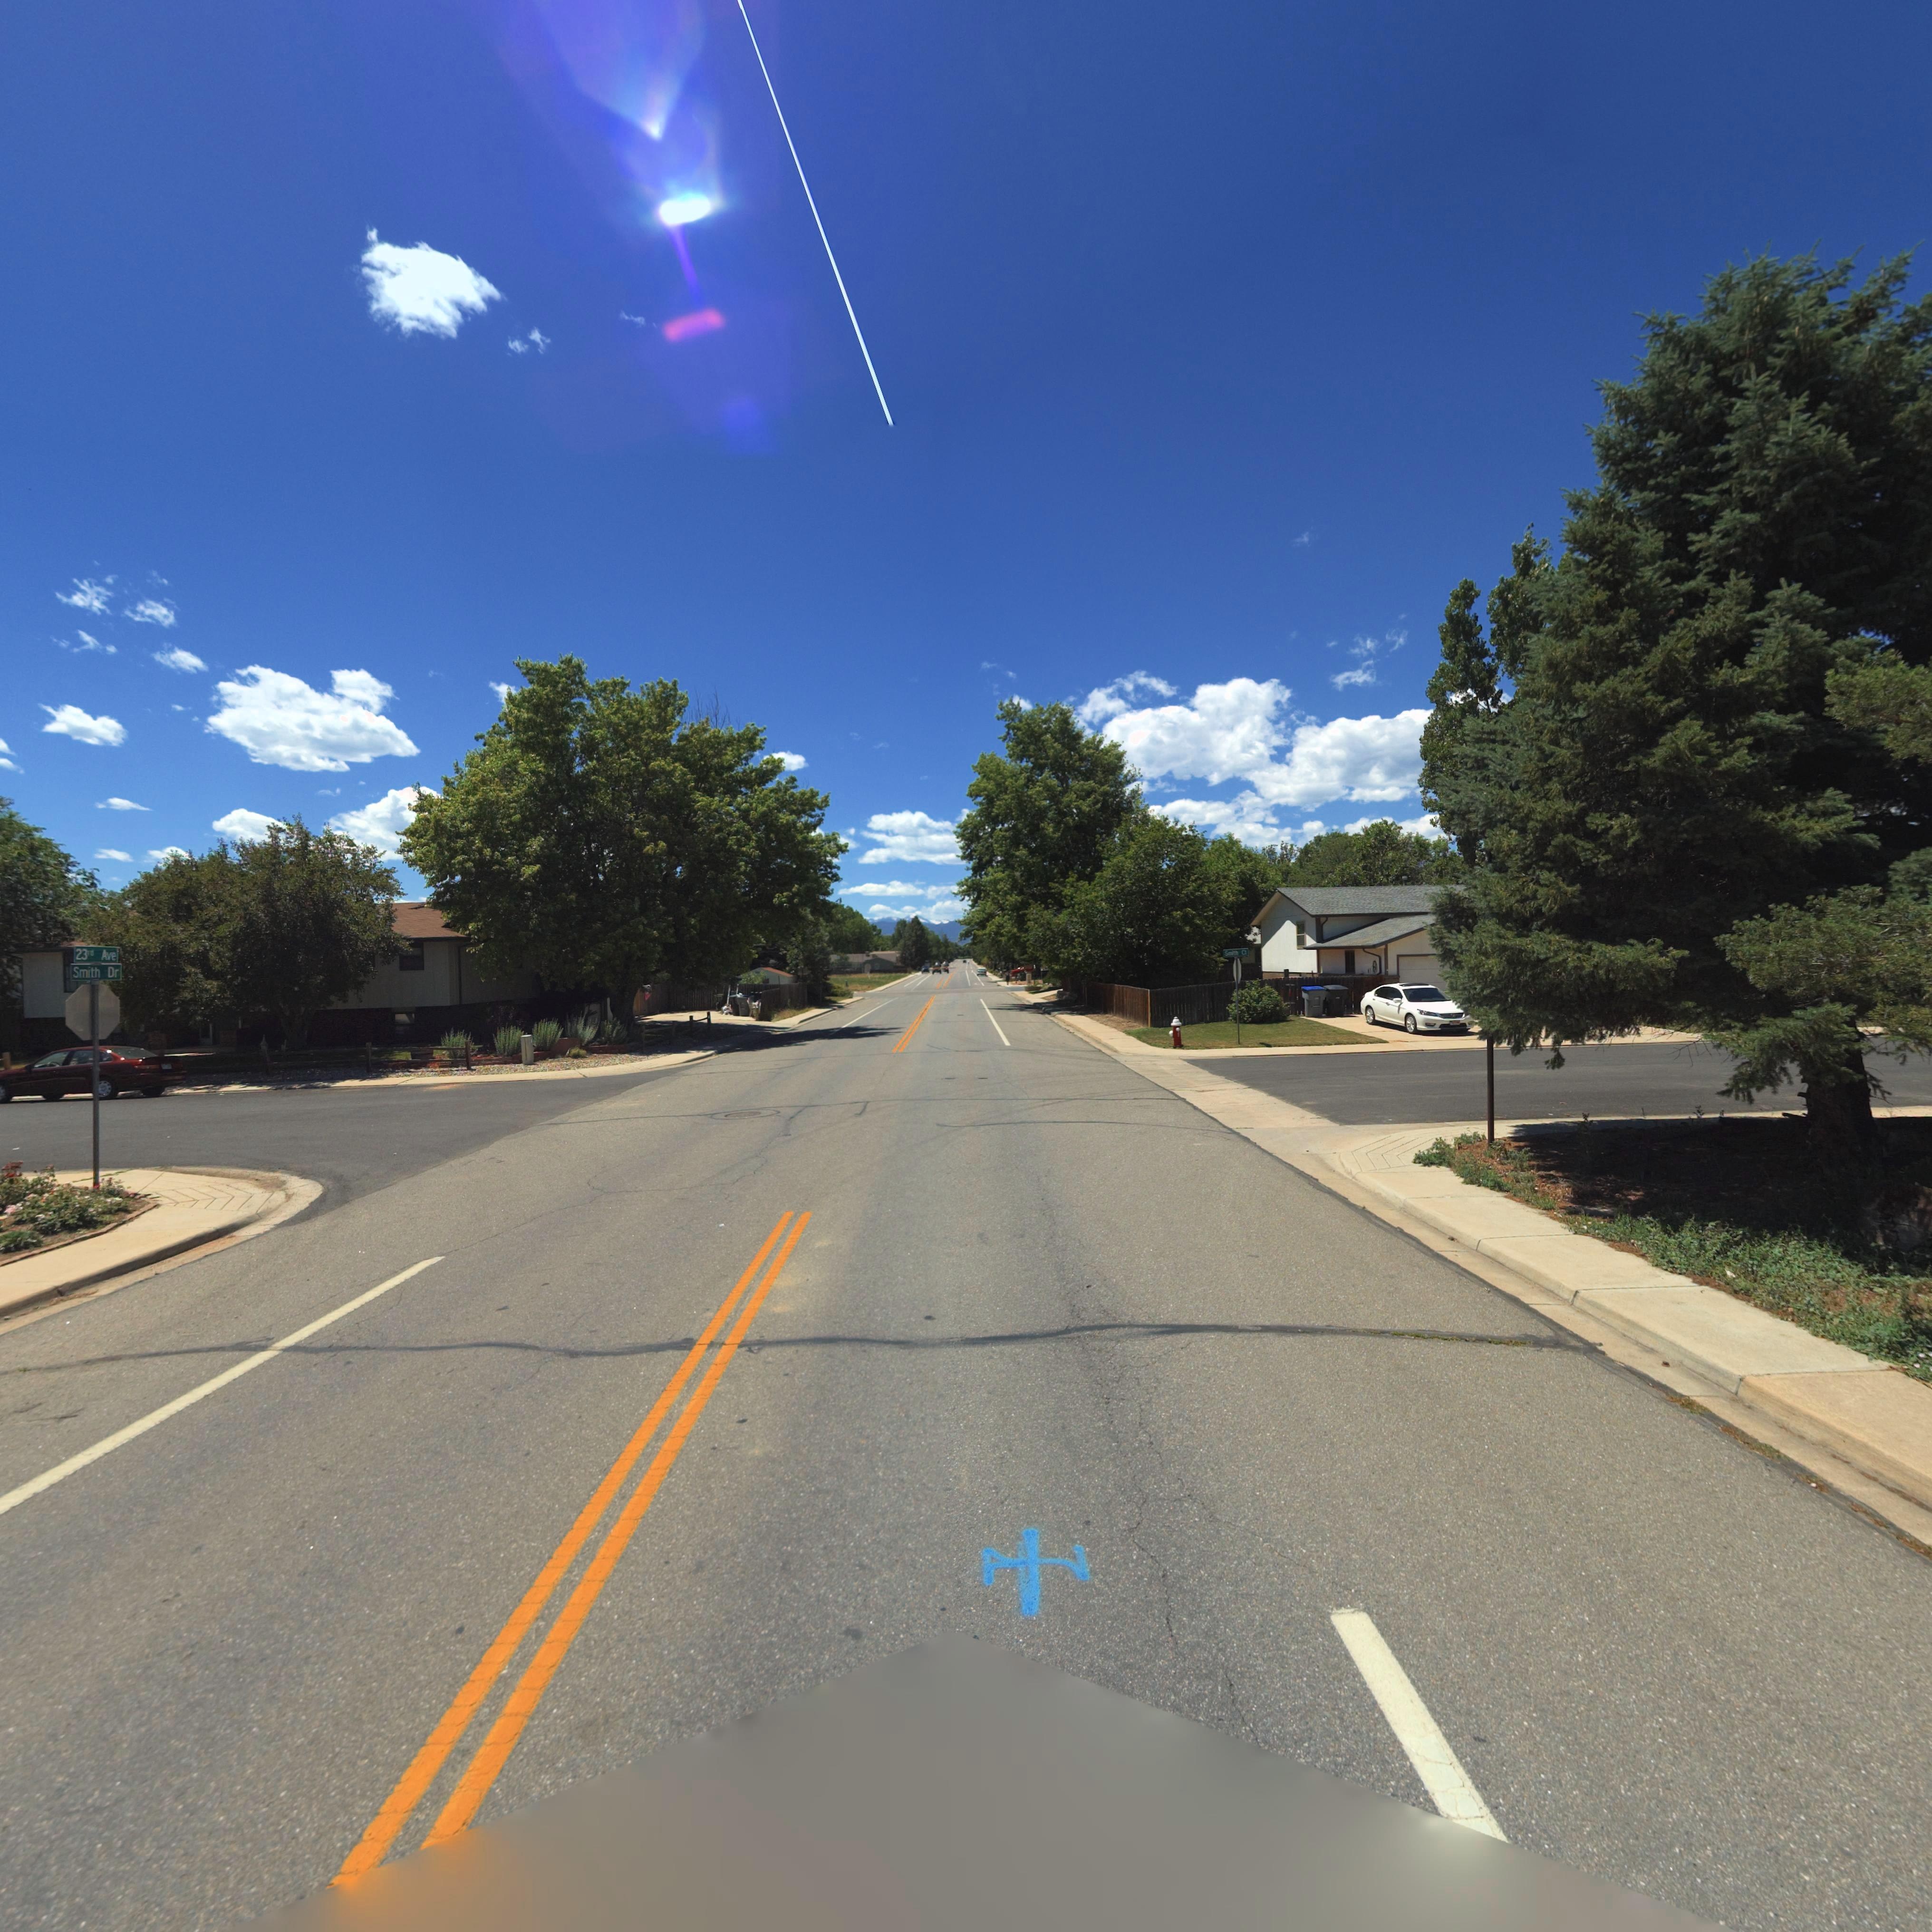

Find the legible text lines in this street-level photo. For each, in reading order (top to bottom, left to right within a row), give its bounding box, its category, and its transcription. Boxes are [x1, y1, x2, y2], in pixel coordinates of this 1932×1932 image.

[75, 948, 116, 962] StreetName: 23rd Ave
[1224, 949, 1247, 956] StreetName: Smith C*
[73, 966, 118, 978] StreetName: Smith Dr